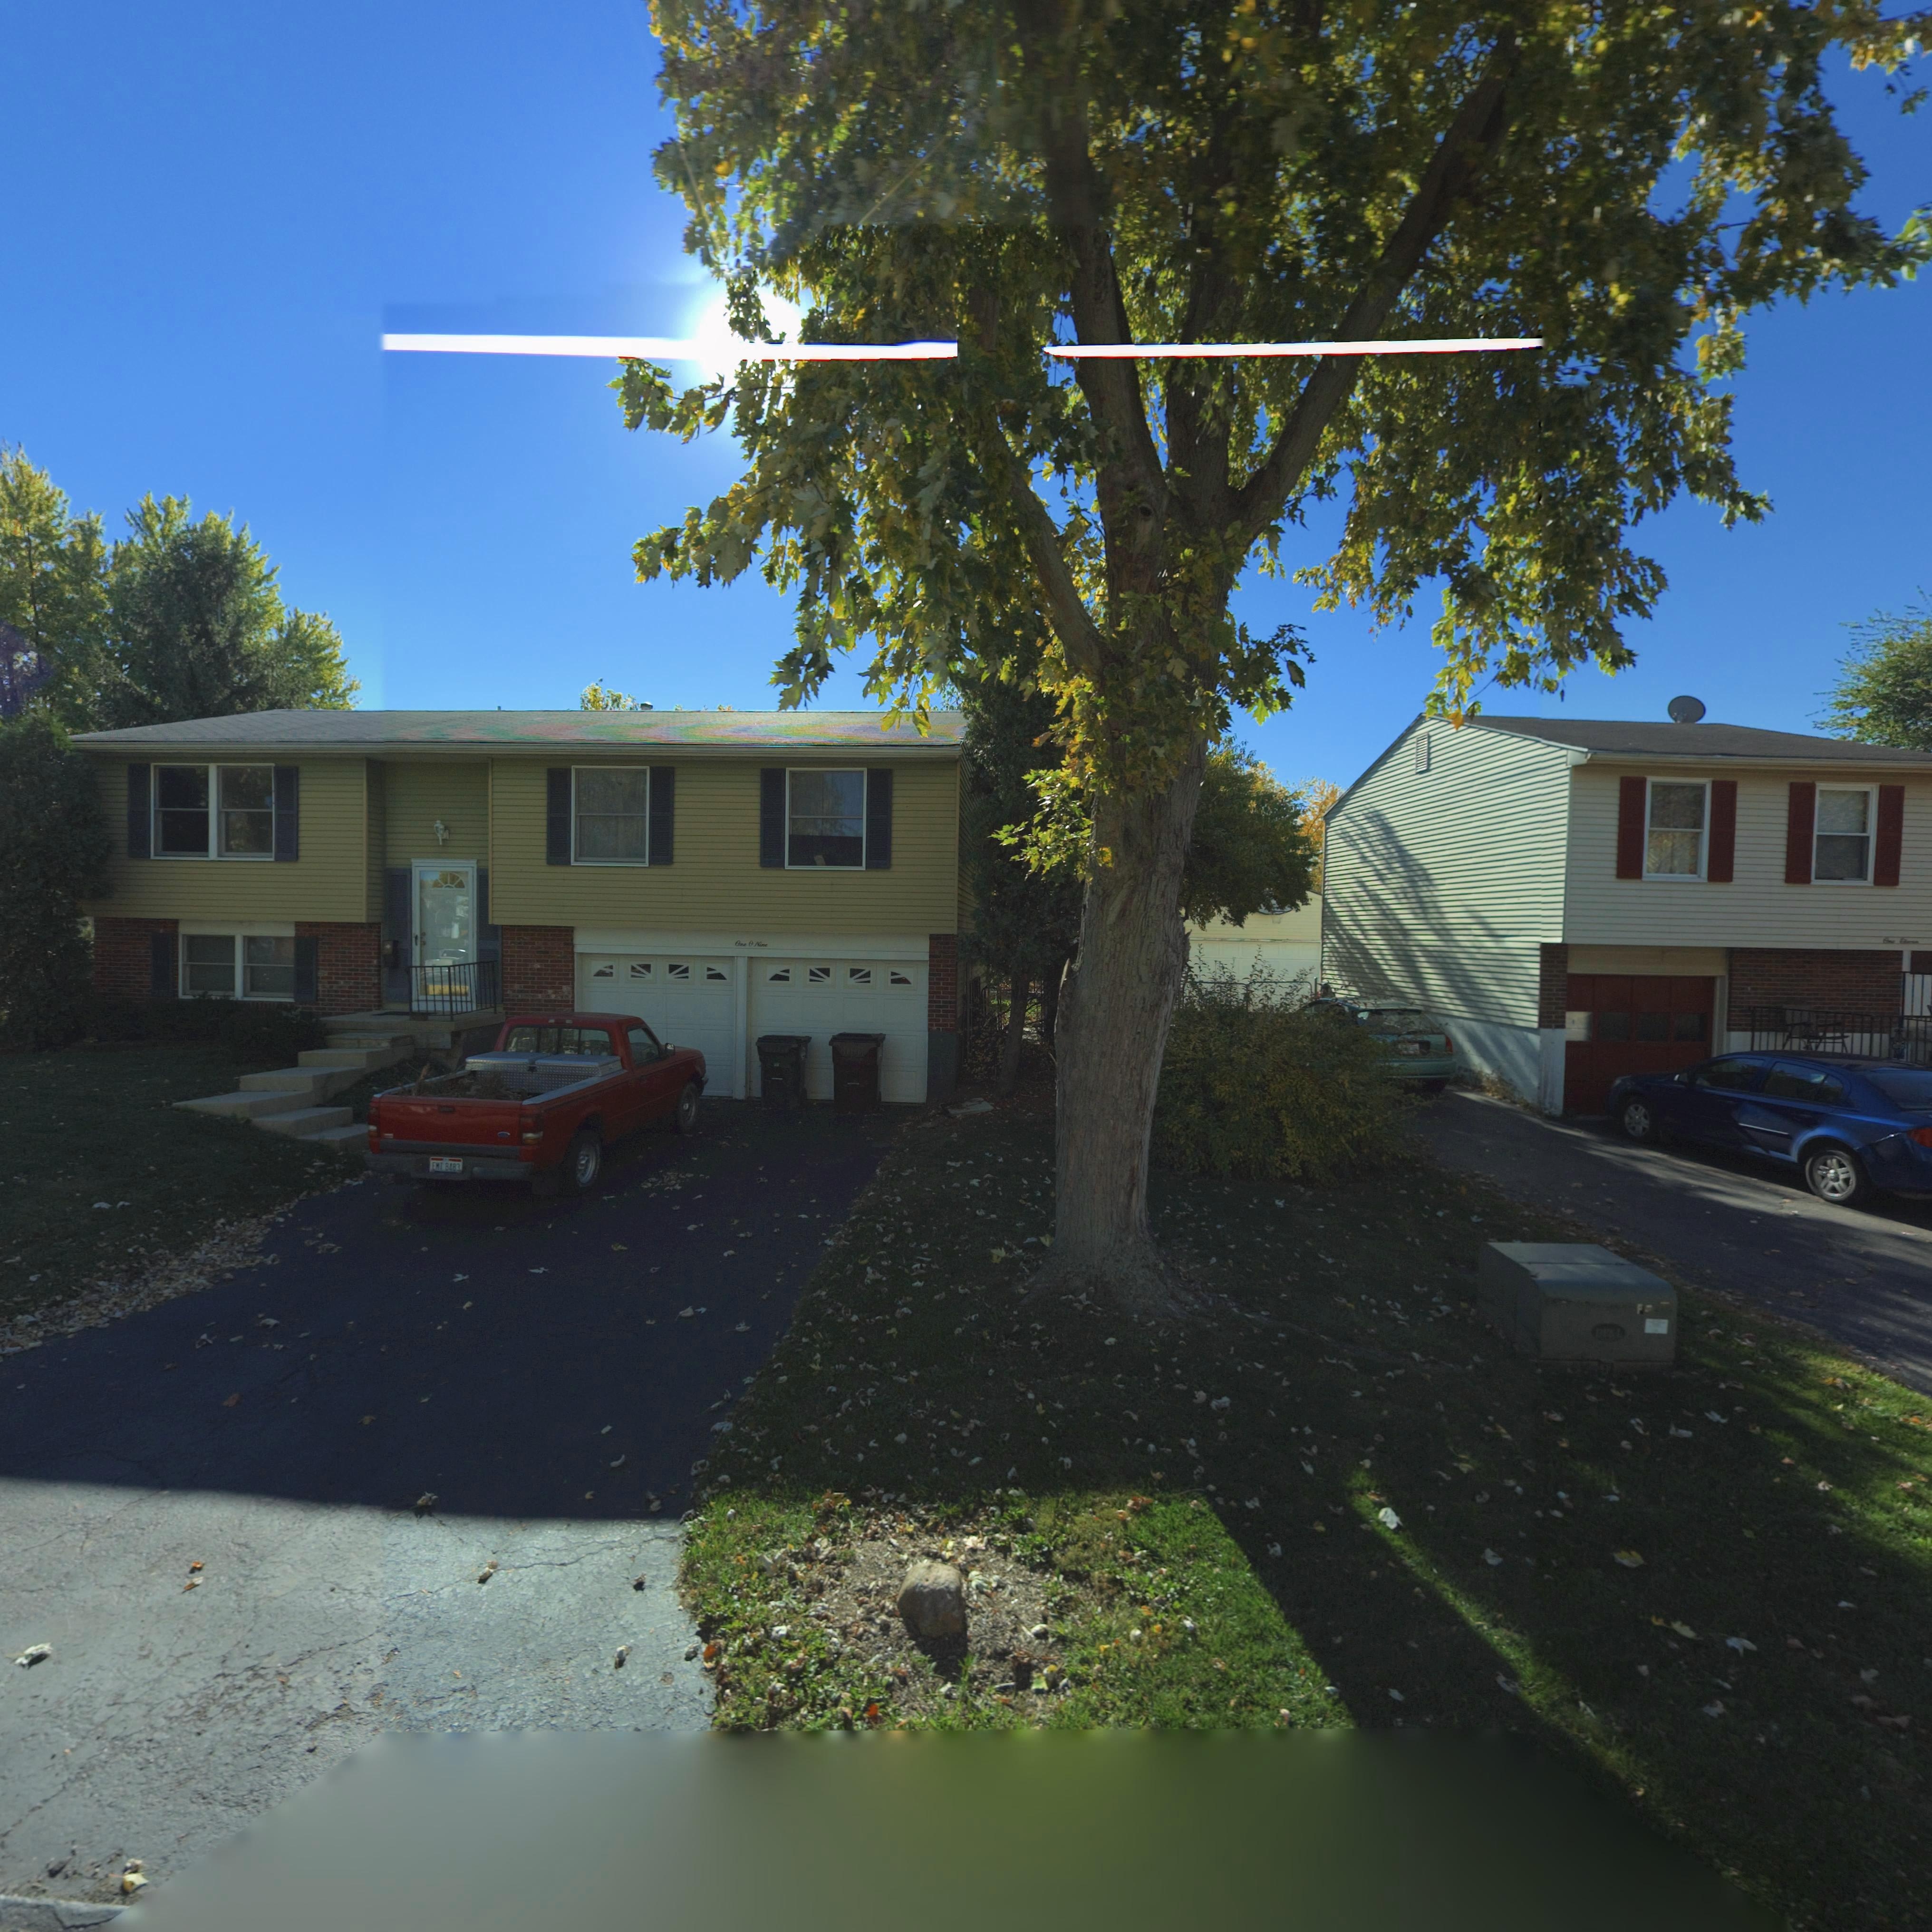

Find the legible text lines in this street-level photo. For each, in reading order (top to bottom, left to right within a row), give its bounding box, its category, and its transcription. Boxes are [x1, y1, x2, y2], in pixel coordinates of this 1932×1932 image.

[734, 939, 769, 948] StreetNumber: O** 0 N***